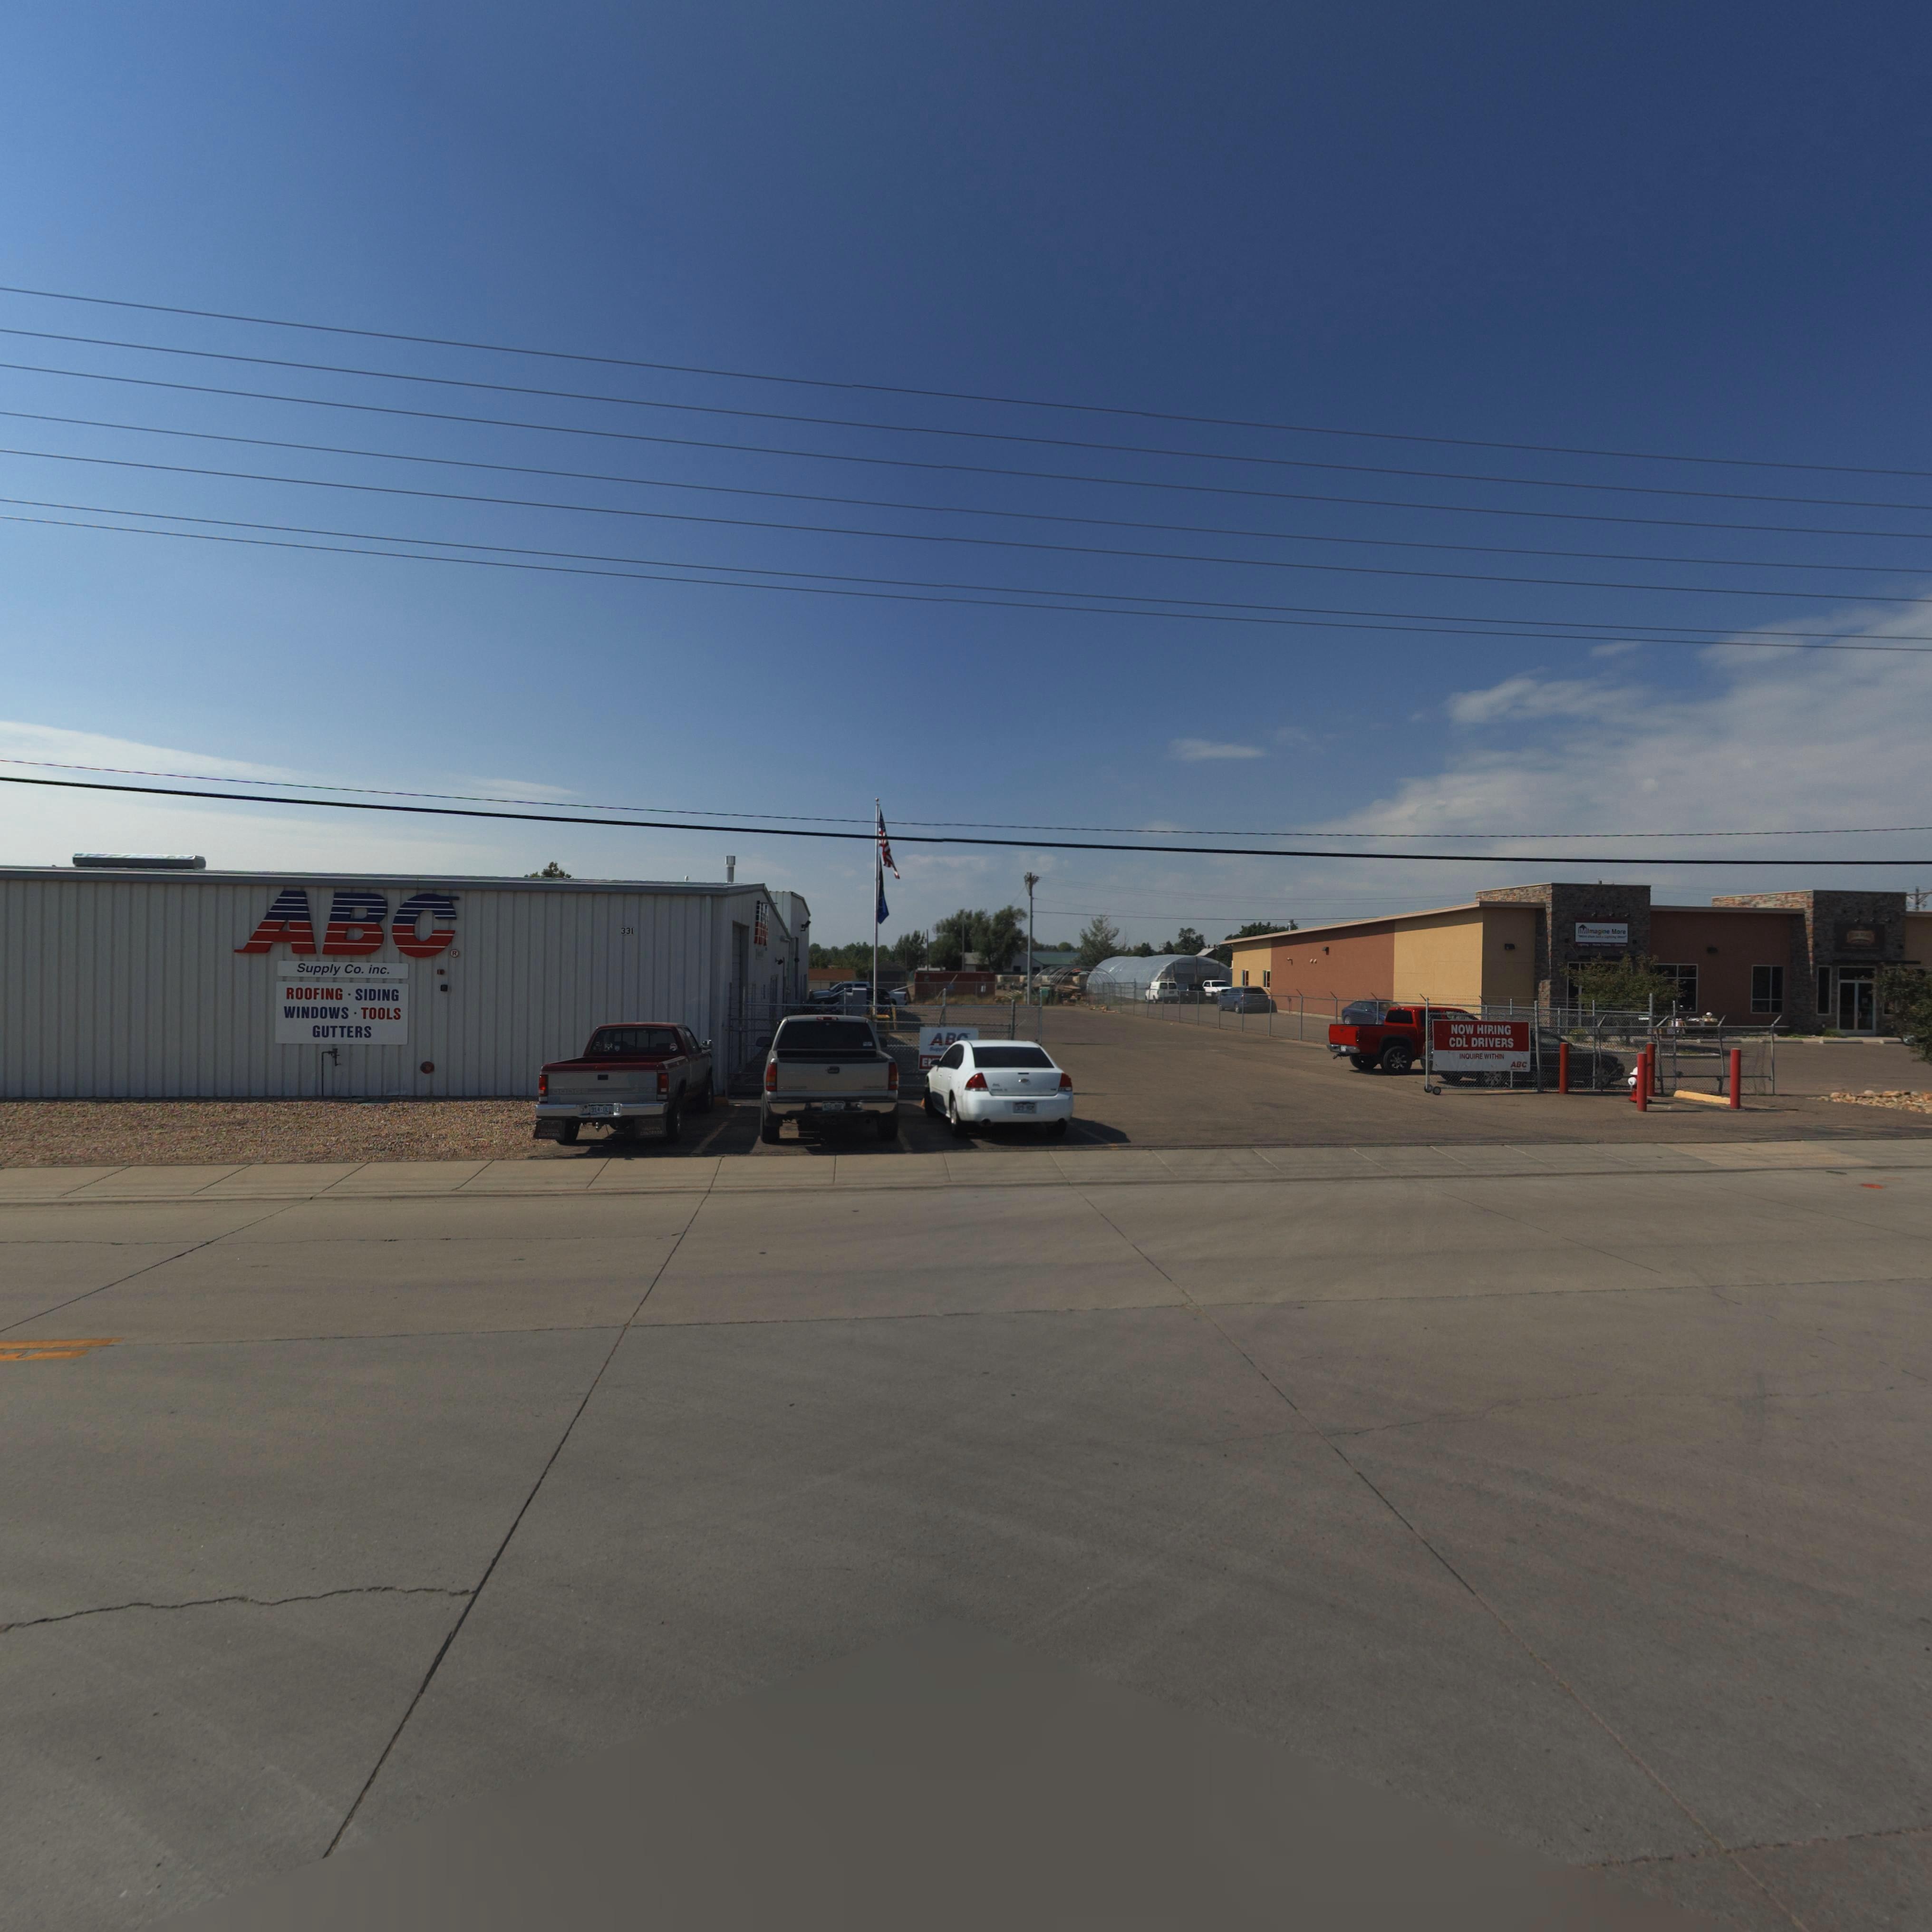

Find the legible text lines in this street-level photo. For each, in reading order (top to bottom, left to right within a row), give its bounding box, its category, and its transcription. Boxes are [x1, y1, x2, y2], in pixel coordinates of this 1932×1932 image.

[232, 889, 460, 958] BusinessName: ABC
[620, 927, 633, 934] StreetNumber: 331
[753, 899, 770, 947] BusinessName: ABC
[1578, 927, 1586, 934] BusinessName: IM
[1587, 927, 1626, 935] BusinessName: Imagine More
[927, 1032, 956, 1046] BusinessName: AB